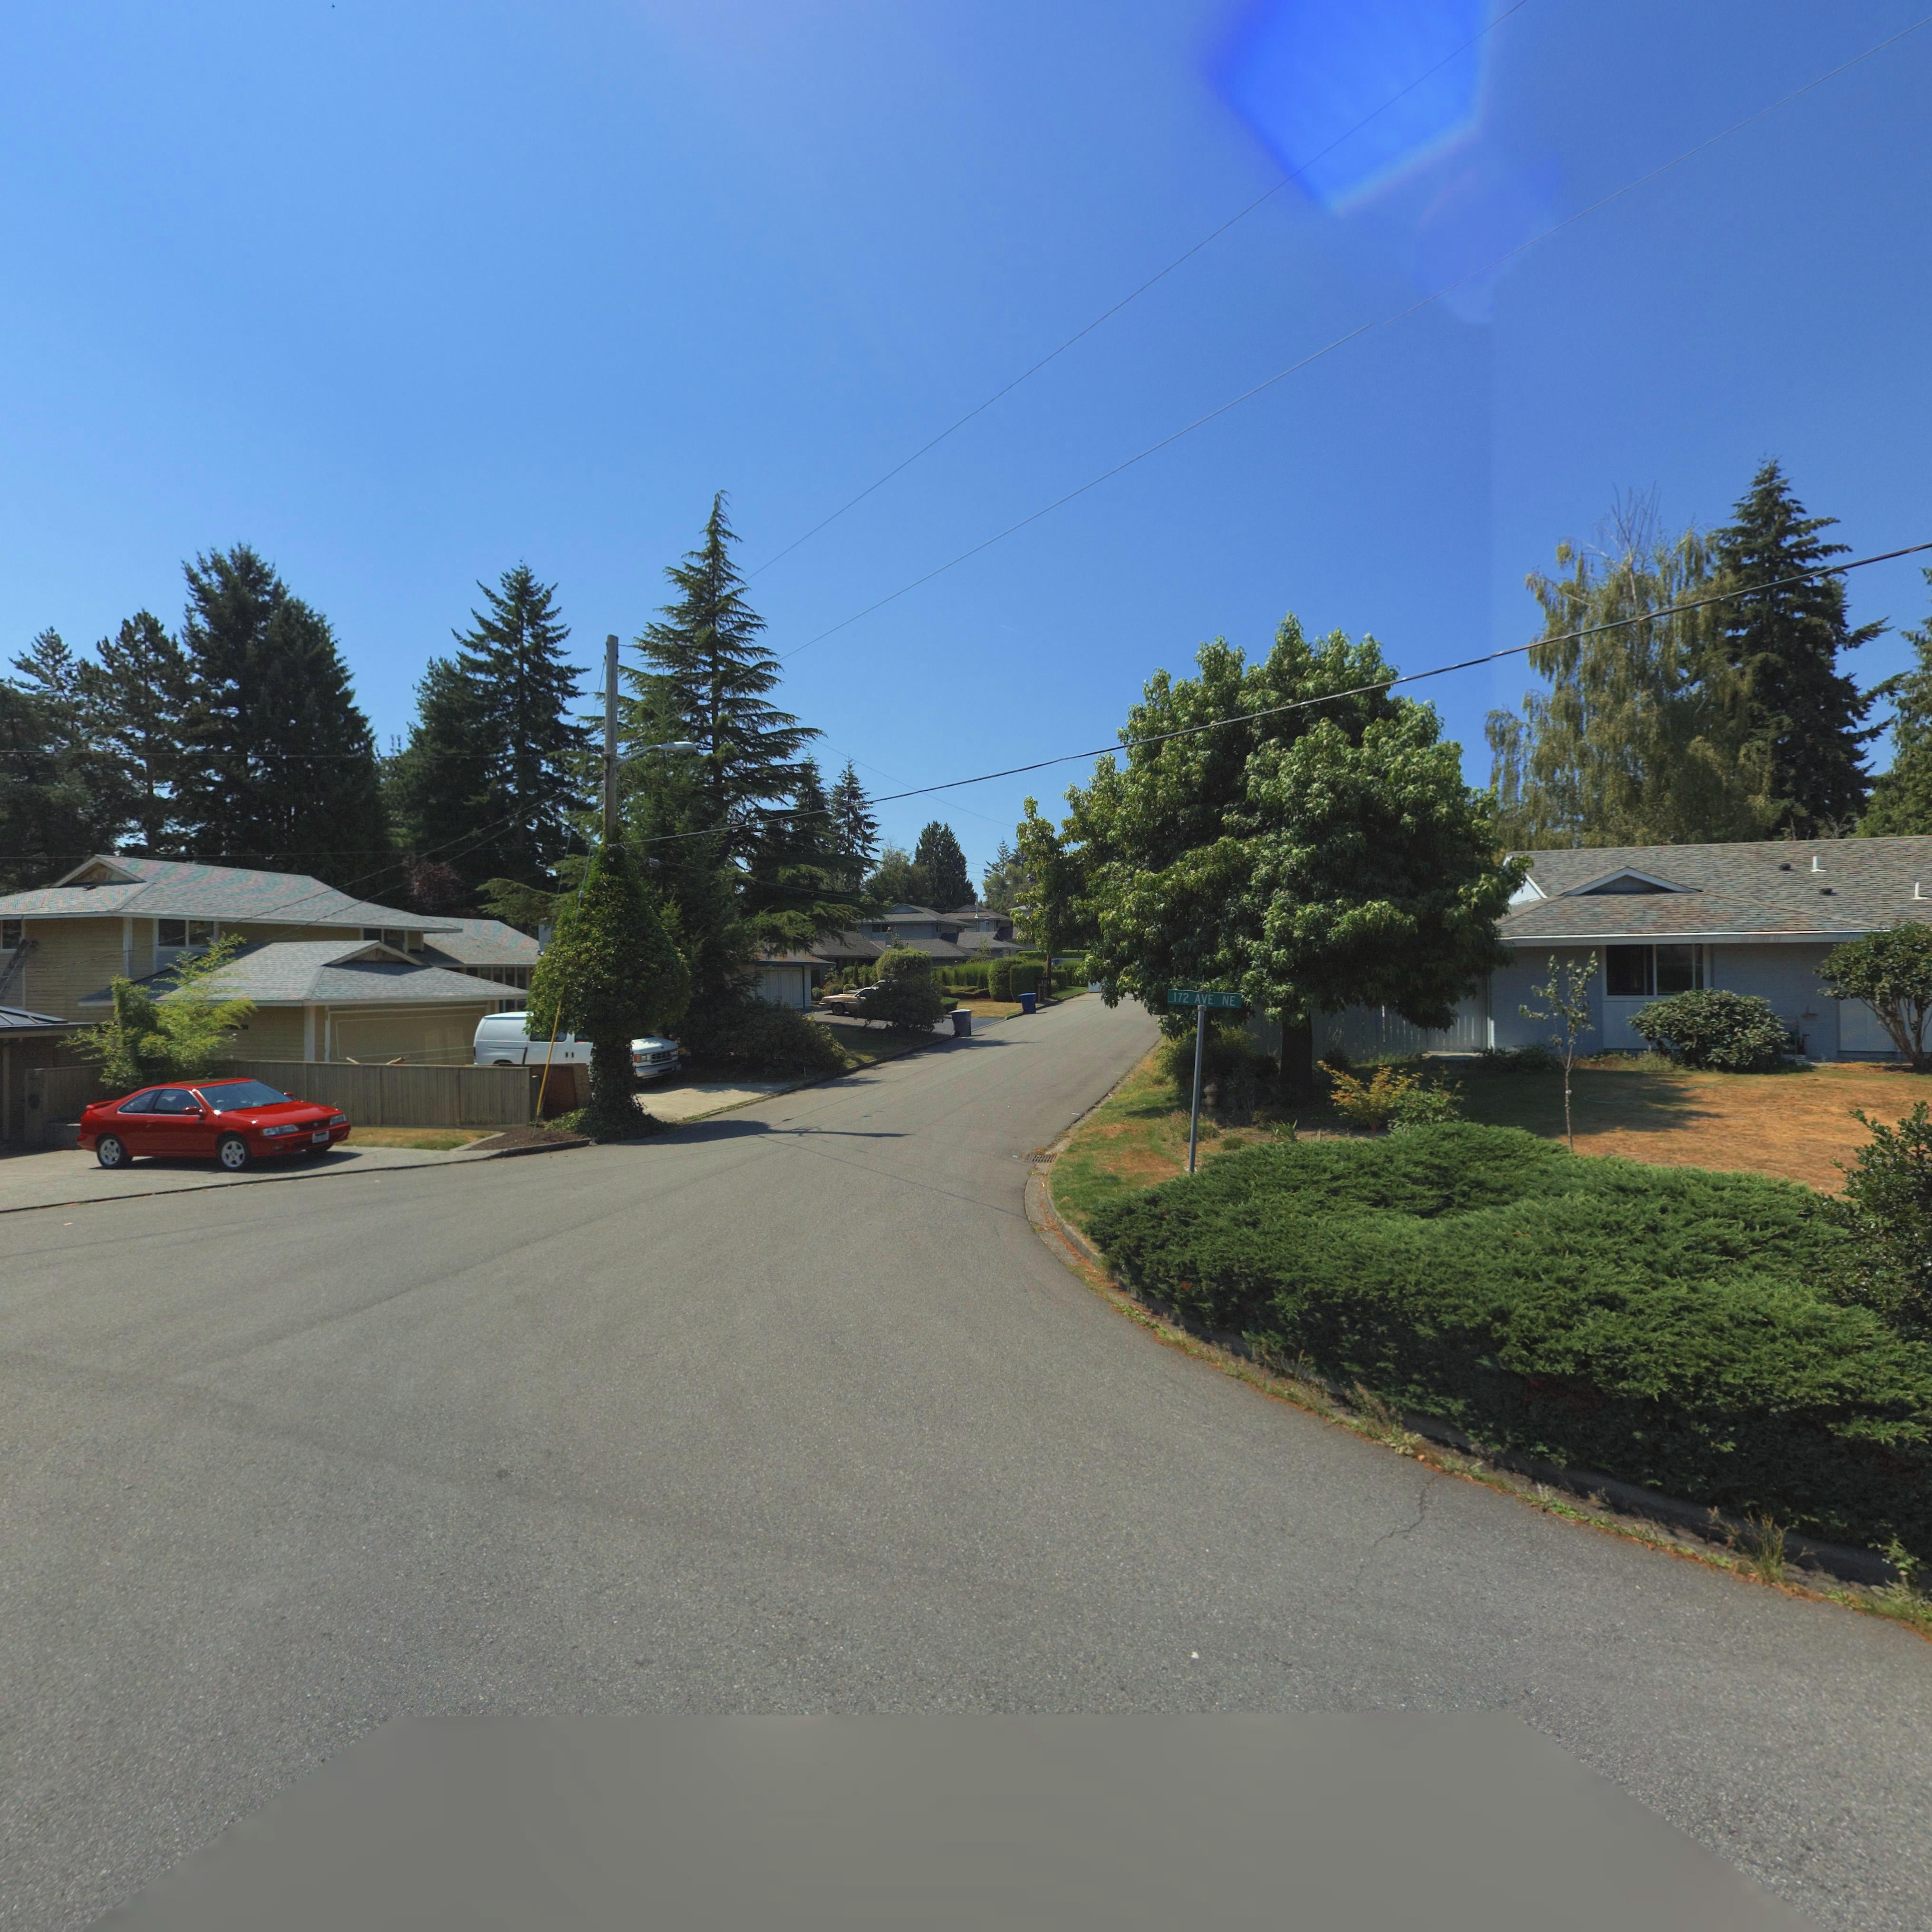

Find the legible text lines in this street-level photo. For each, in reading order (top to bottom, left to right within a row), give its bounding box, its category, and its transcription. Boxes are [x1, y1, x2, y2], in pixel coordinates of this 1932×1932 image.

[1173, 992, 1235, 1005] StreetName: 172 AVE NE